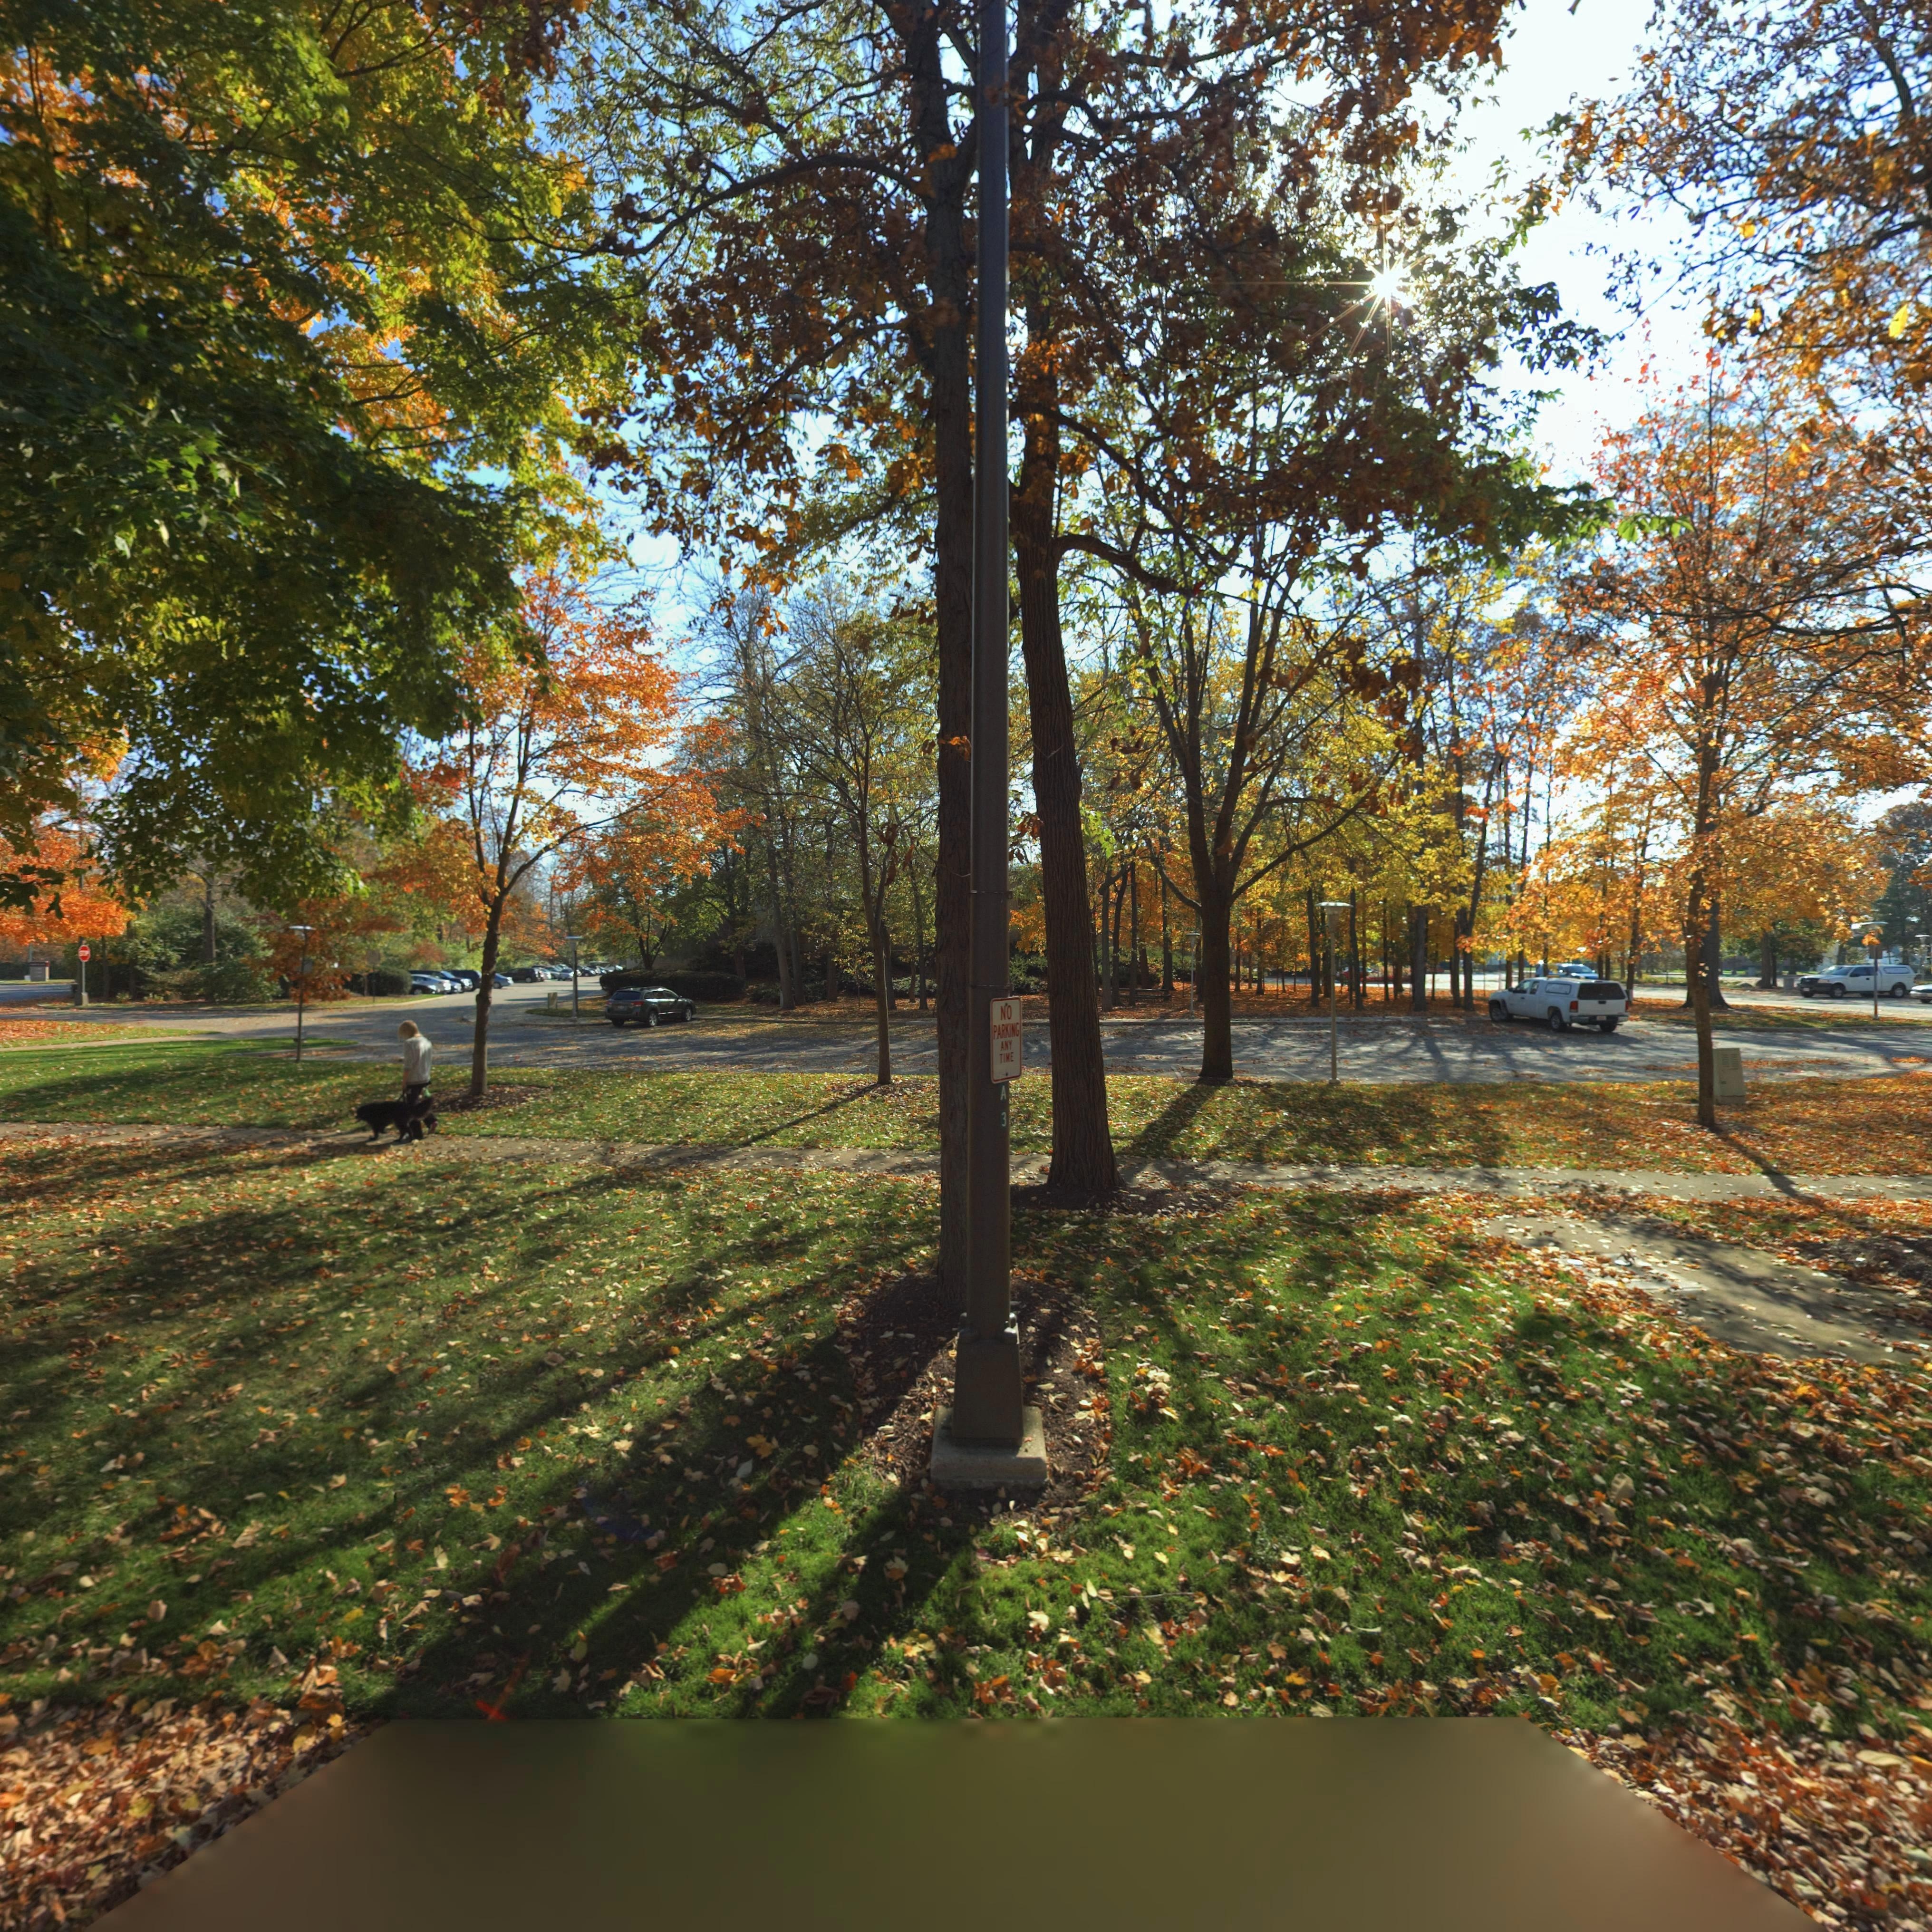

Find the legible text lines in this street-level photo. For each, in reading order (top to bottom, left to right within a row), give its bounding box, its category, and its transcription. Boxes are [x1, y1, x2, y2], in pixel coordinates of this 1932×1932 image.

[999, 1005, 1013, 1021] None: NO
[992, 1022, 1020, 1040] None: PARKING
[1000, 1039, 1013, 1051] None: ANY
[999, 1052, 1014, 1064] None: TIME
[1000, 1084, 1007, 1101] None: A
[1000, 1111, 1007, 1127] None: 3